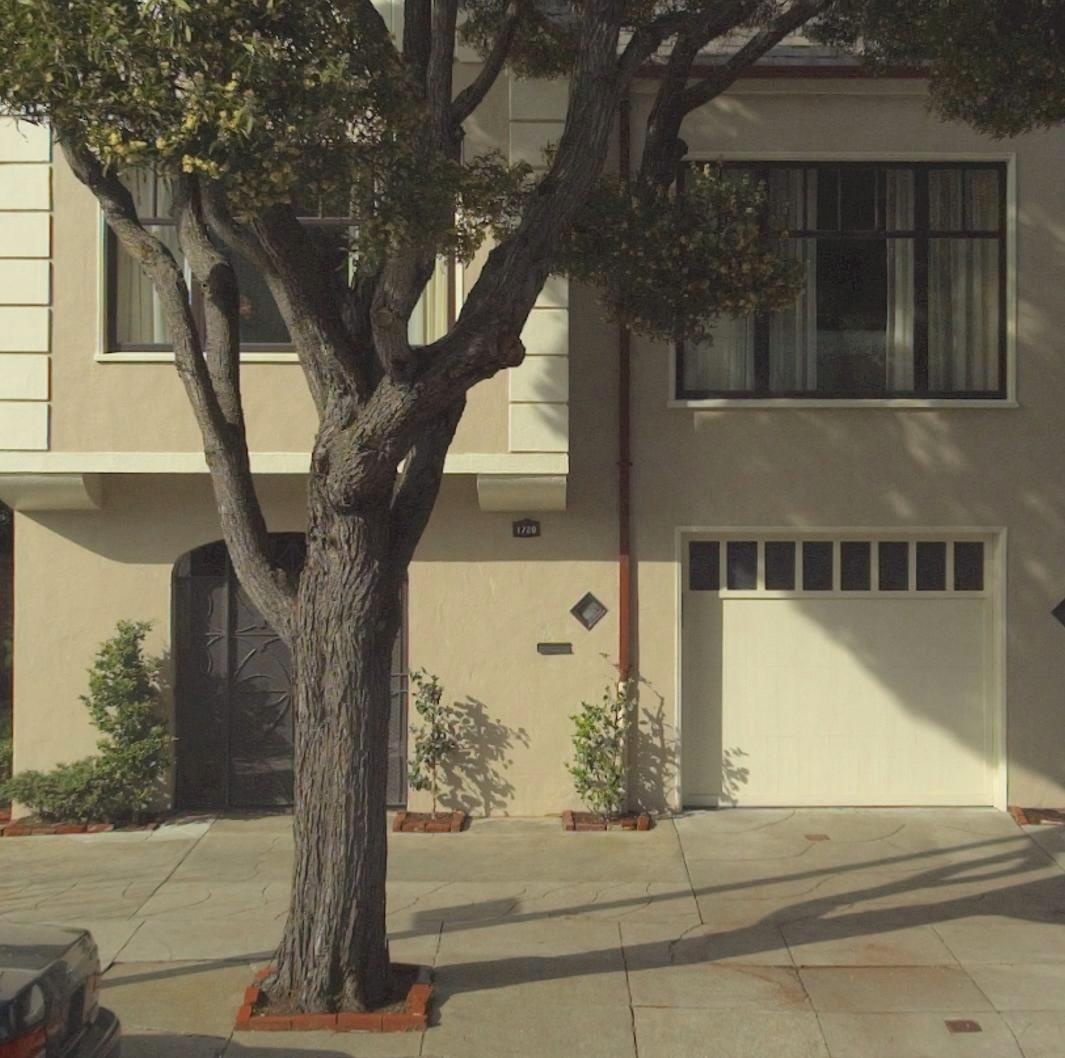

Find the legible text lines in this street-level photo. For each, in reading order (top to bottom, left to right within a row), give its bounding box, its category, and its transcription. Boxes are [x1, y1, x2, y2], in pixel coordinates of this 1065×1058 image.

[516, 525, 538, 535] StreetNumber: 1720